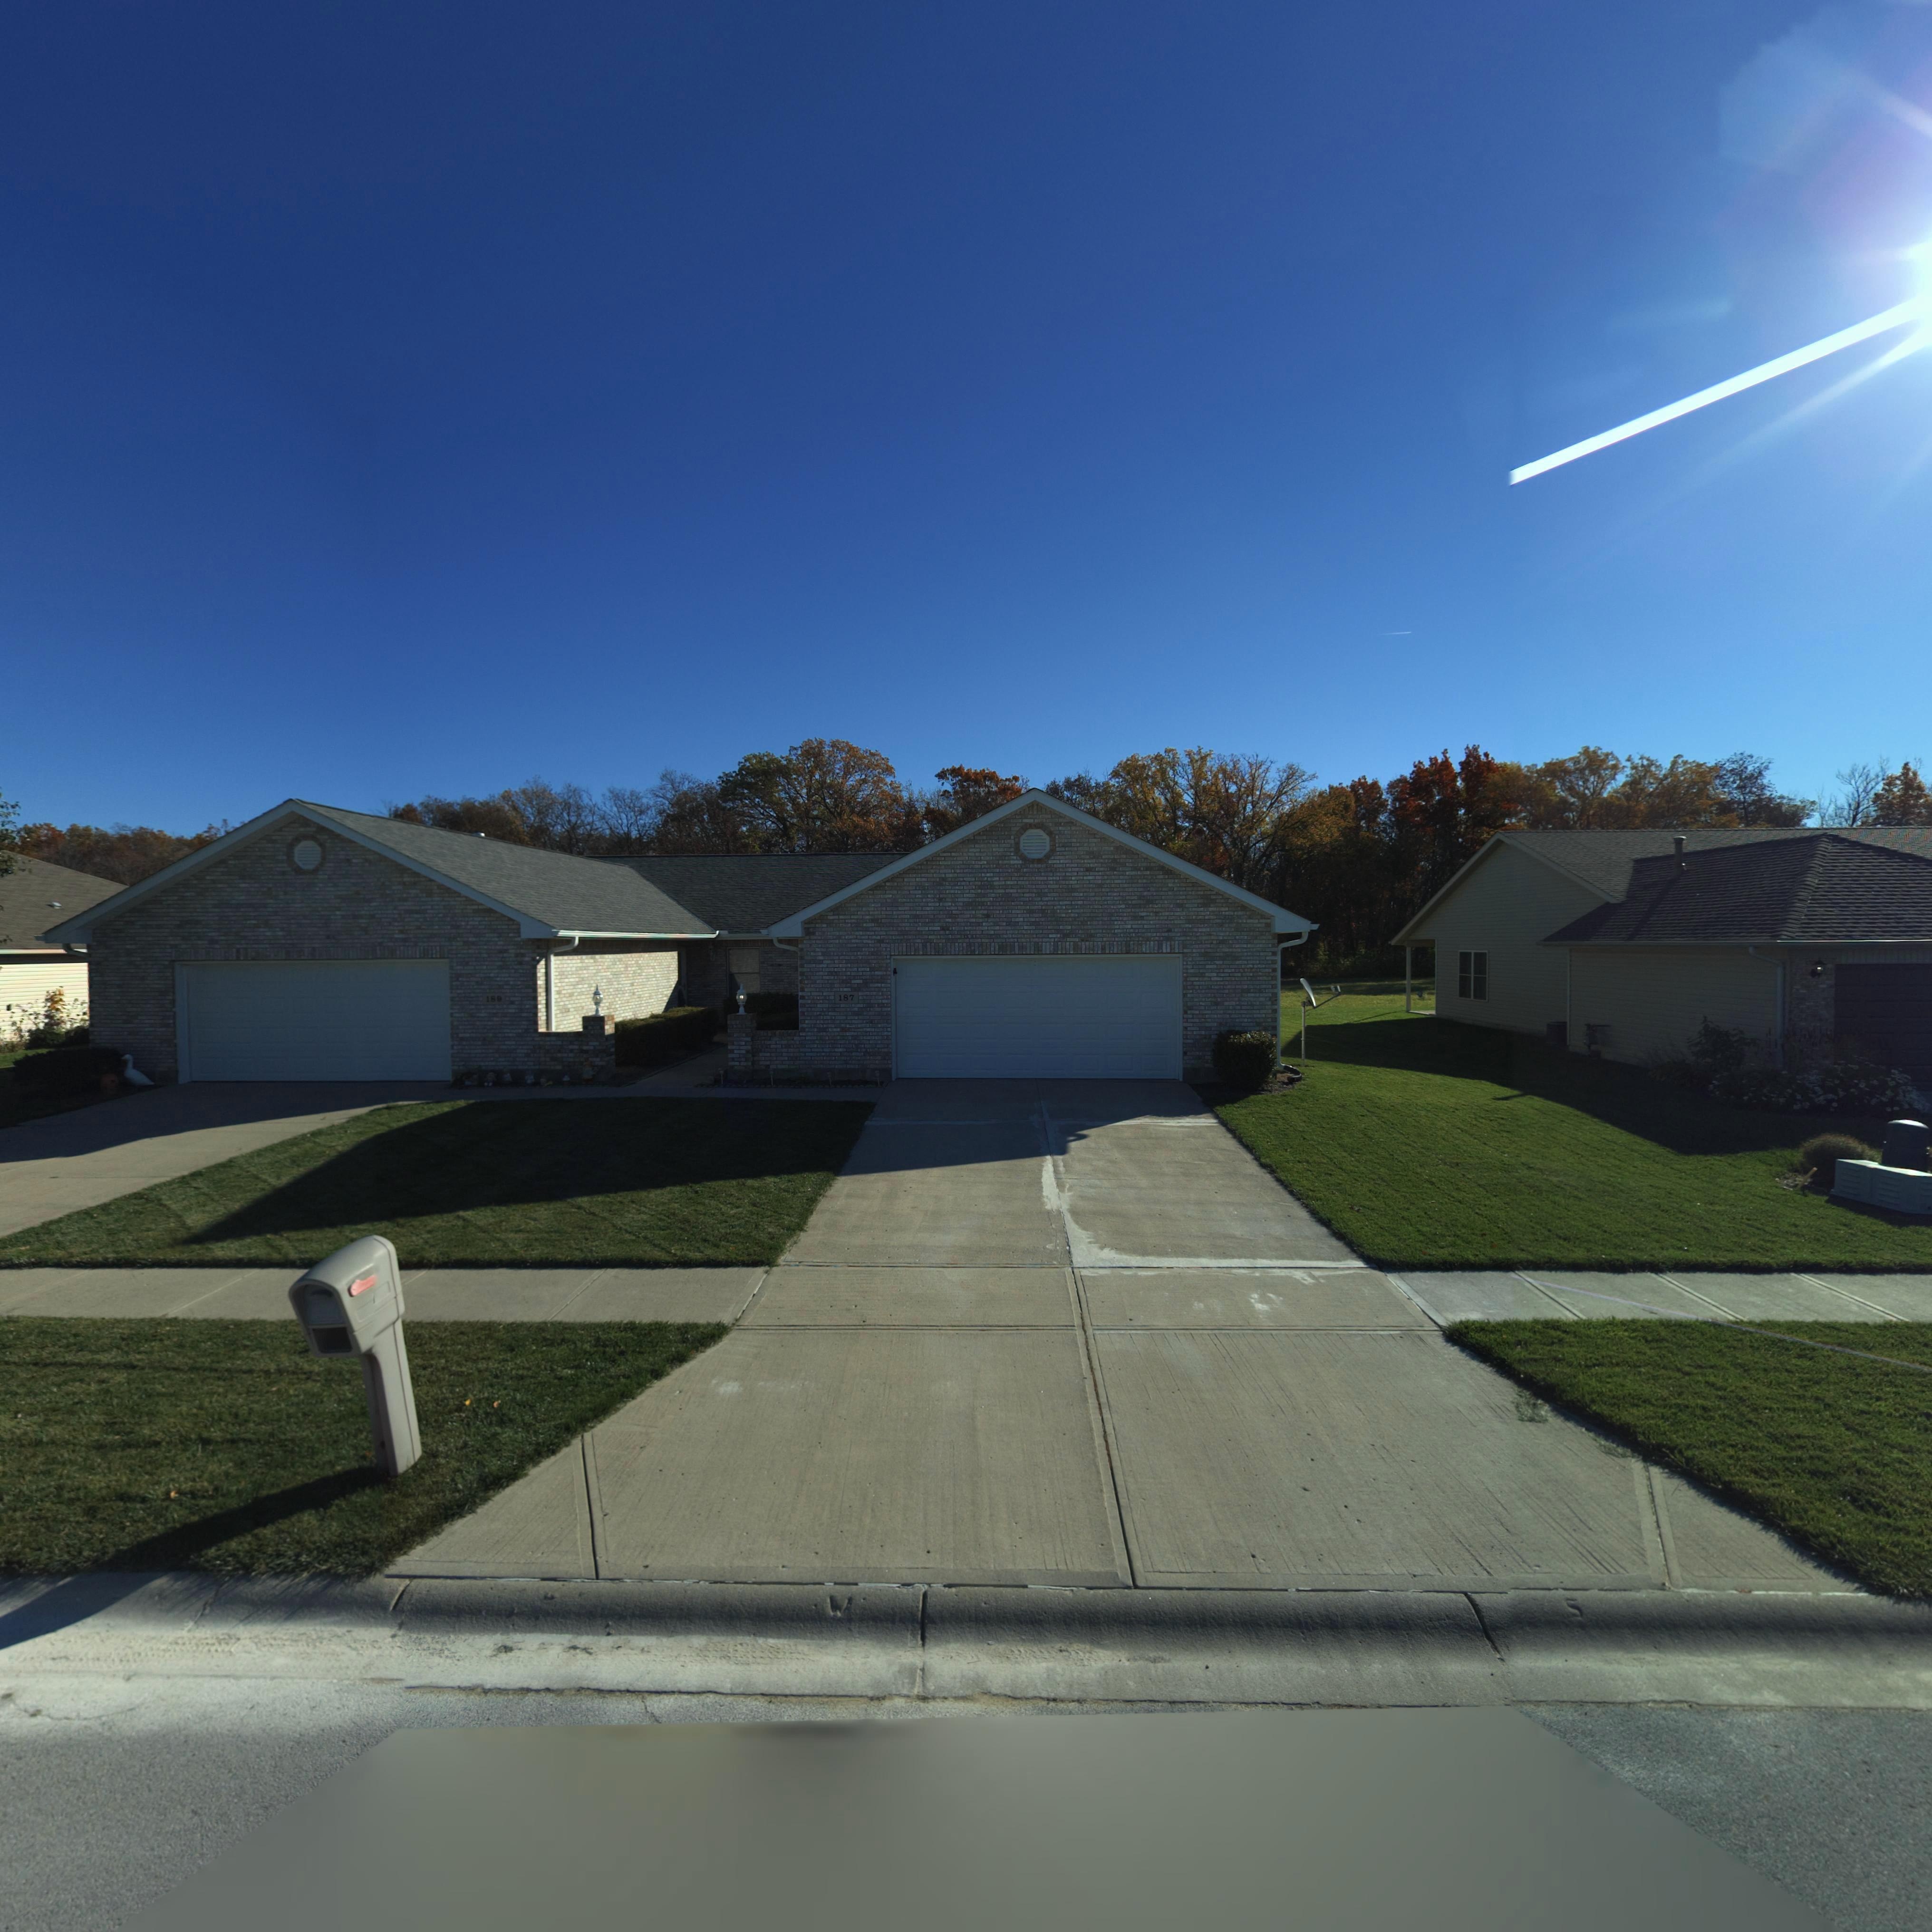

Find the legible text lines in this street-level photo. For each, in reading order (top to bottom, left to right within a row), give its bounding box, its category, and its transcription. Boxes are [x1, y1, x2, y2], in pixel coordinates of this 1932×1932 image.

[485, 995, 503, 1003] StreetNumber: 189
[838, 994, 855, 1002] StreetNumber: 187